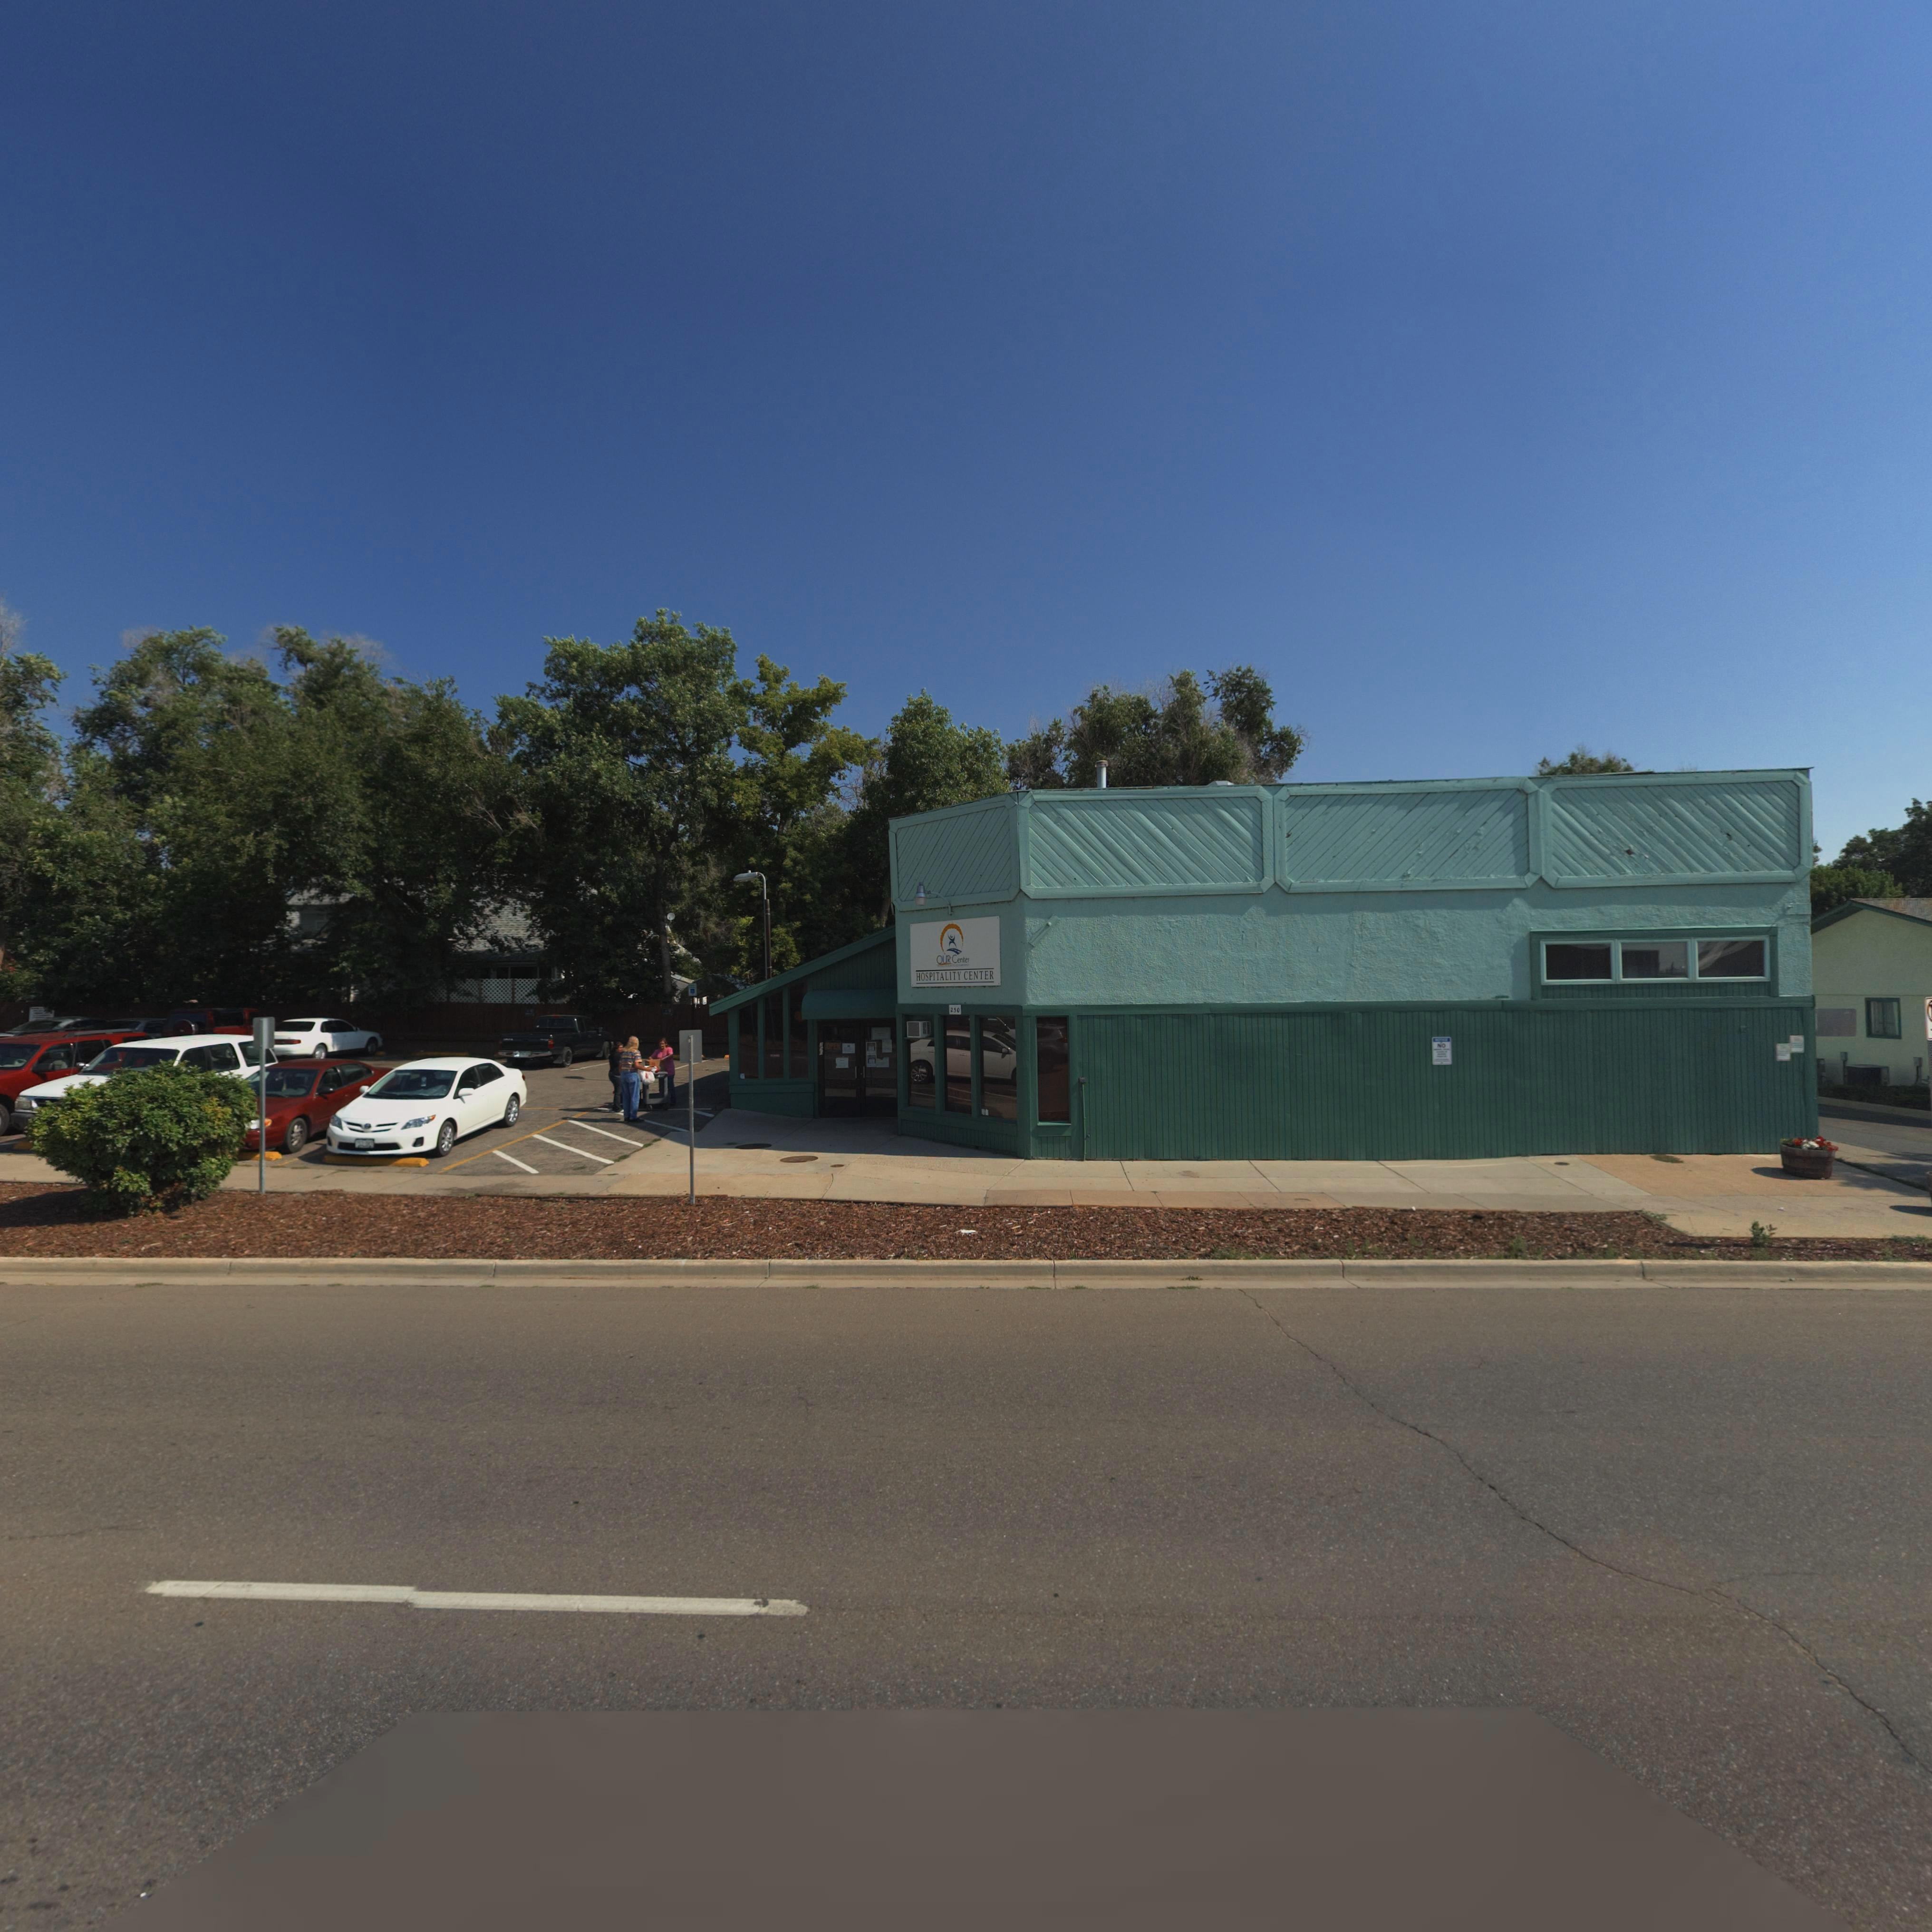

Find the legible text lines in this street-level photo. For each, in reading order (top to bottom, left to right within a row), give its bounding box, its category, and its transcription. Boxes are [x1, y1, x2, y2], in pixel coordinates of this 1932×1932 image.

[936, 954, 970, 964] BusinessName: OUR Center
[950, 1007, 960, 1013] StreetNumber: 250